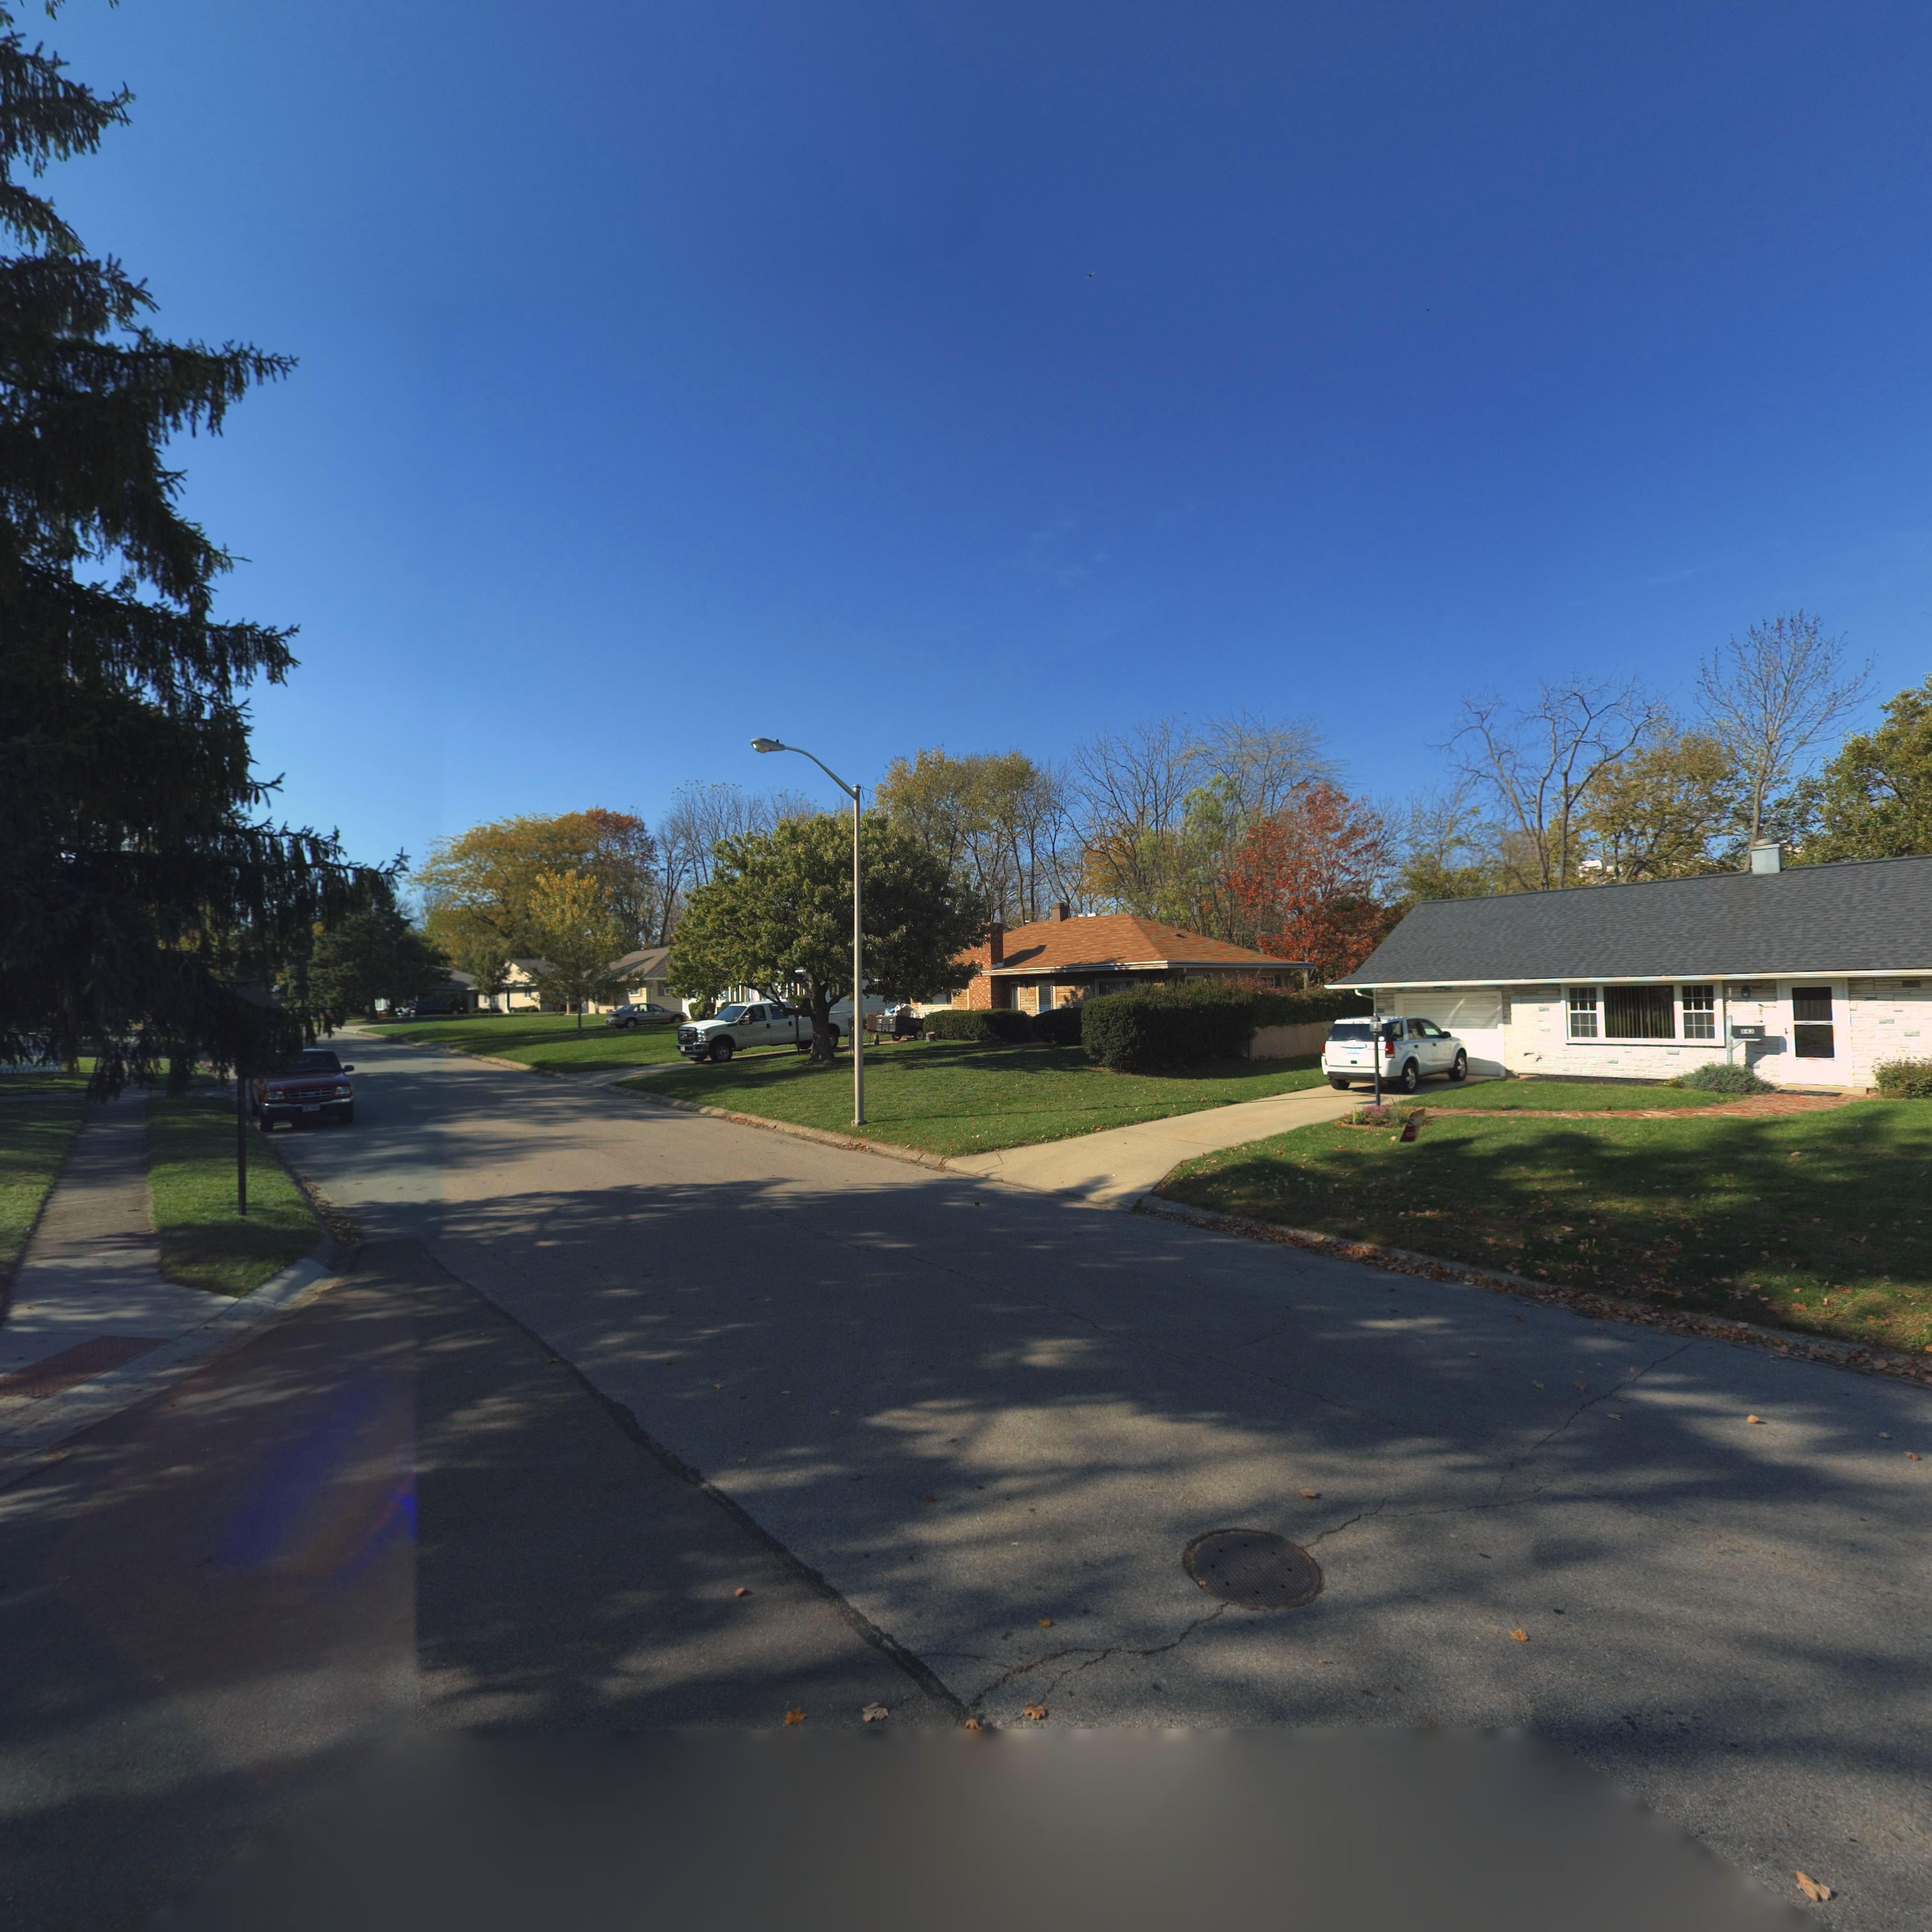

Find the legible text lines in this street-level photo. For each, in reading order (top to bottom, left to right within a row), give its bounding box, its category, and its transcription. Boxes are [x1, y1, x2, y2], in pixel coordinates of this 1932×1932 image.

[1741, 1029, 1754, 1034] StreetNumber: 443